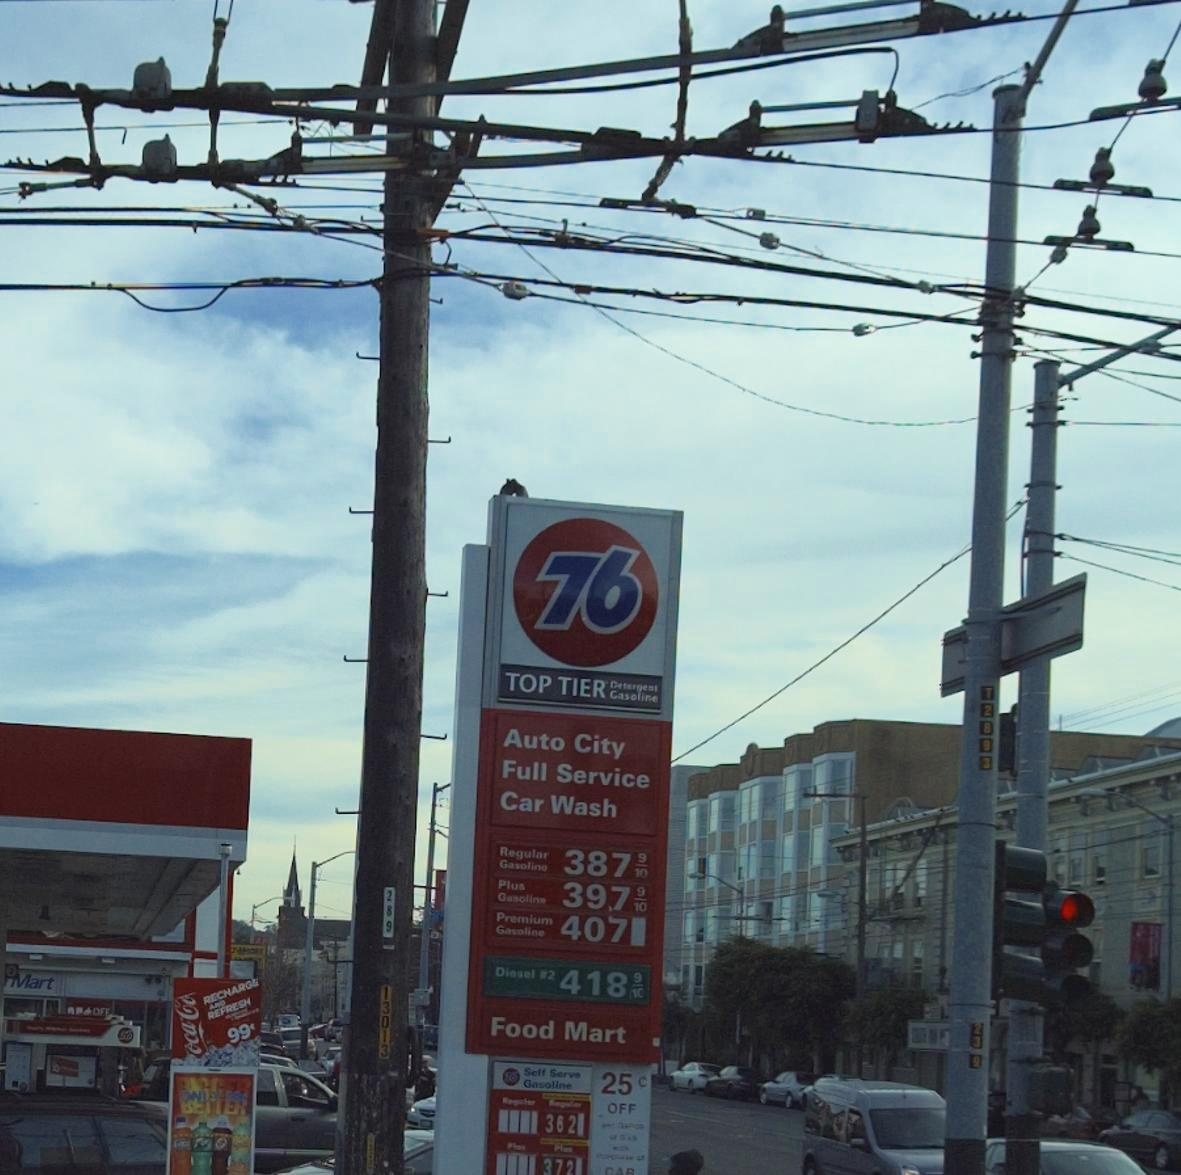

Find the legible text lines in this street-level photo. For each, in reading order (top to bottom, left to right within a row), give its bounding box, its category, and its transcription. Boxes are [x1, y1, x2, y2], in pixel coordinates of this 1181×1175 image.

[531, 541, 646, 638] BusinessName: 76
[501, 668, 609, 702] None: TOP TIER
[608, 687, 661, 706] None: Gasoline
[498, 724, 631, 763] None: Auto City
[978, 684, 996, 771] None: T2893
[498, 755, 654, 793] None: Full Service
[496, 787, 621, 822] None: Car Wash
[497, 857, 551, 875] None: Gasoline
[497, 844, 552, 863] None: Regular
[559, 844, 653, 883] None: 387 9/10
[382, 886, 395, 936] None: 289
[494, 875, 528, 893] None: Plus
[493, 922, 547, 939] None: Gasoline
[495, 890, 550, 906] None: Gasoline
[493, 909, 555, 927] None: Premium
[556, 911, 632, 947] None: 407
[557, 877, 651, 915] None: 397 9/10
[207, 997, 228, 1012] None: AND
[205, 992, 254, 1024] None: REFRESH
[199, 974, 263, 1008] None: RECHARGE
[222, 1019, 255, 1049] None: 99
[377, 983, 394, 1061] None: 13013
[492, 963, 560, 983] None: Diesel #2
[487, 1012, 630, 1048] None: Food Mart
[555, 965, 649, 1002] None: 418 9/10
[968, 1020, 985, 1072] None: 23 9
[521, 1076, 574, 1092] None: Gasoline
[521, 1064, 584, 1081] None: Self Serve
[595, 1069, 637, 1098] None: 25
[542, 1110, 581, 1137] None: 362
[605, 1100, 641, 1117] None: OFF